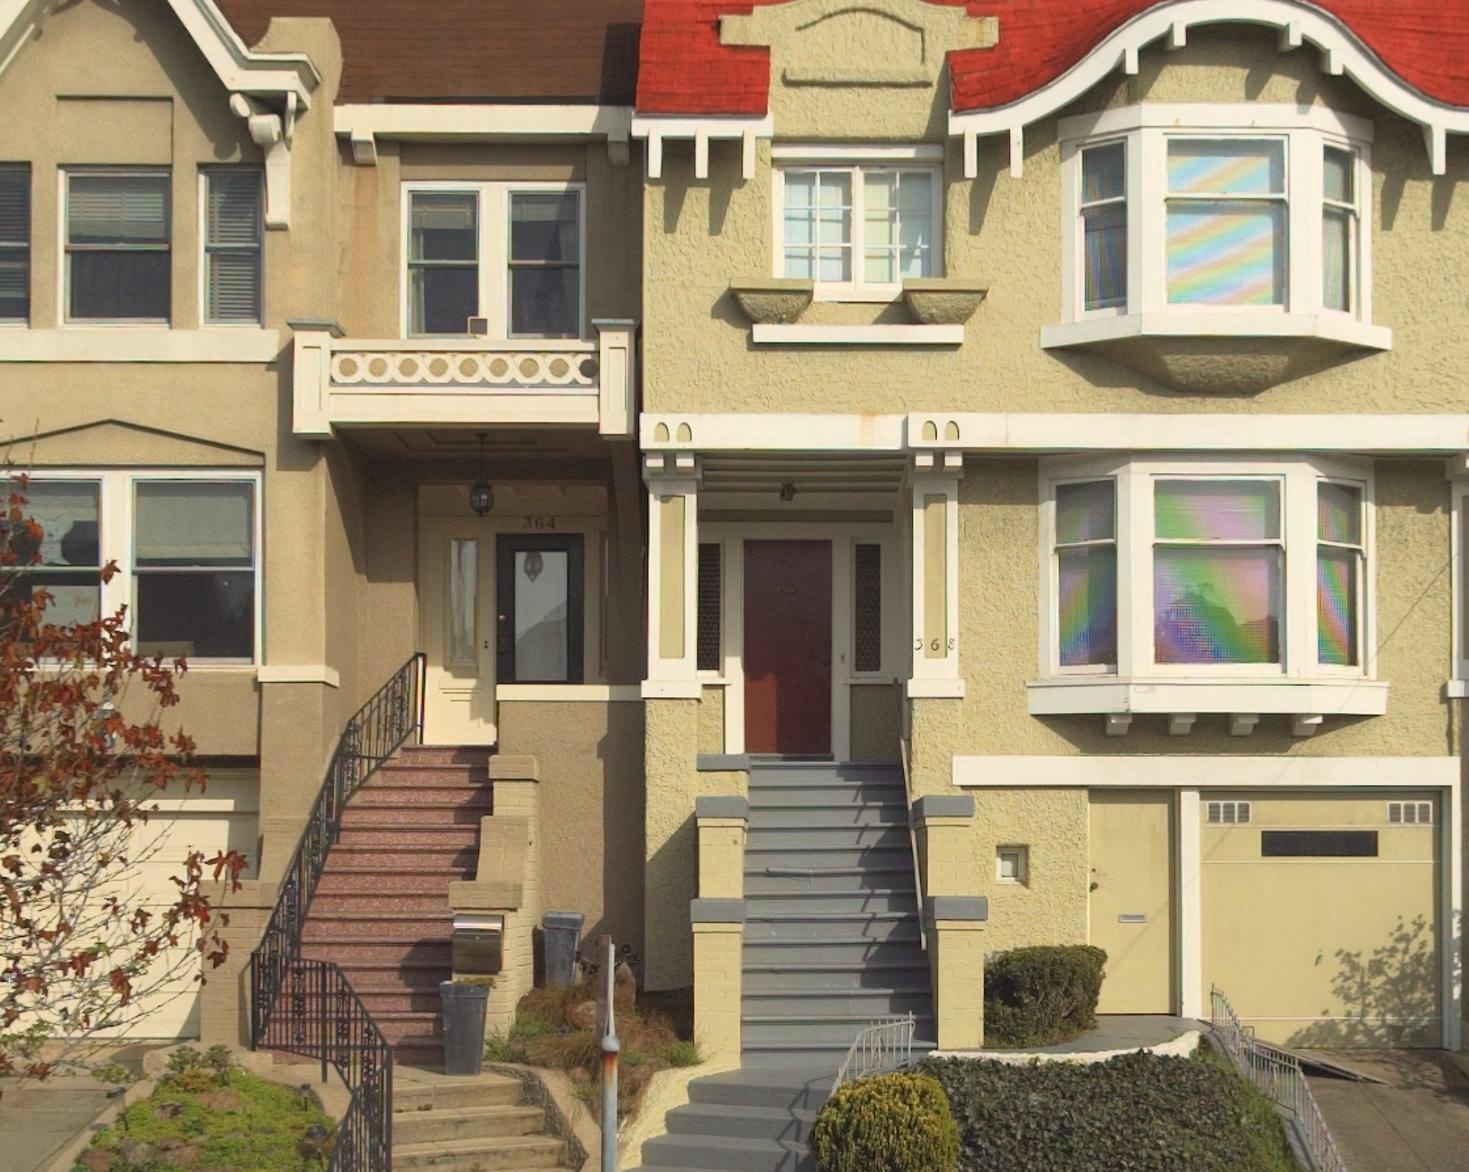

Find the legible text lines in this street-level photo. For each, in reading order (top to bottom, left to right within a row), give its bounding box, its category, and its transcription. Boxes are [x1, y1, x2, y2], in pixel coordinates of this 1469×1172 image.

[522, 514, 557, 530] StreetNumber: 364
[913, 636, 957, 652] StreetNumber: 368